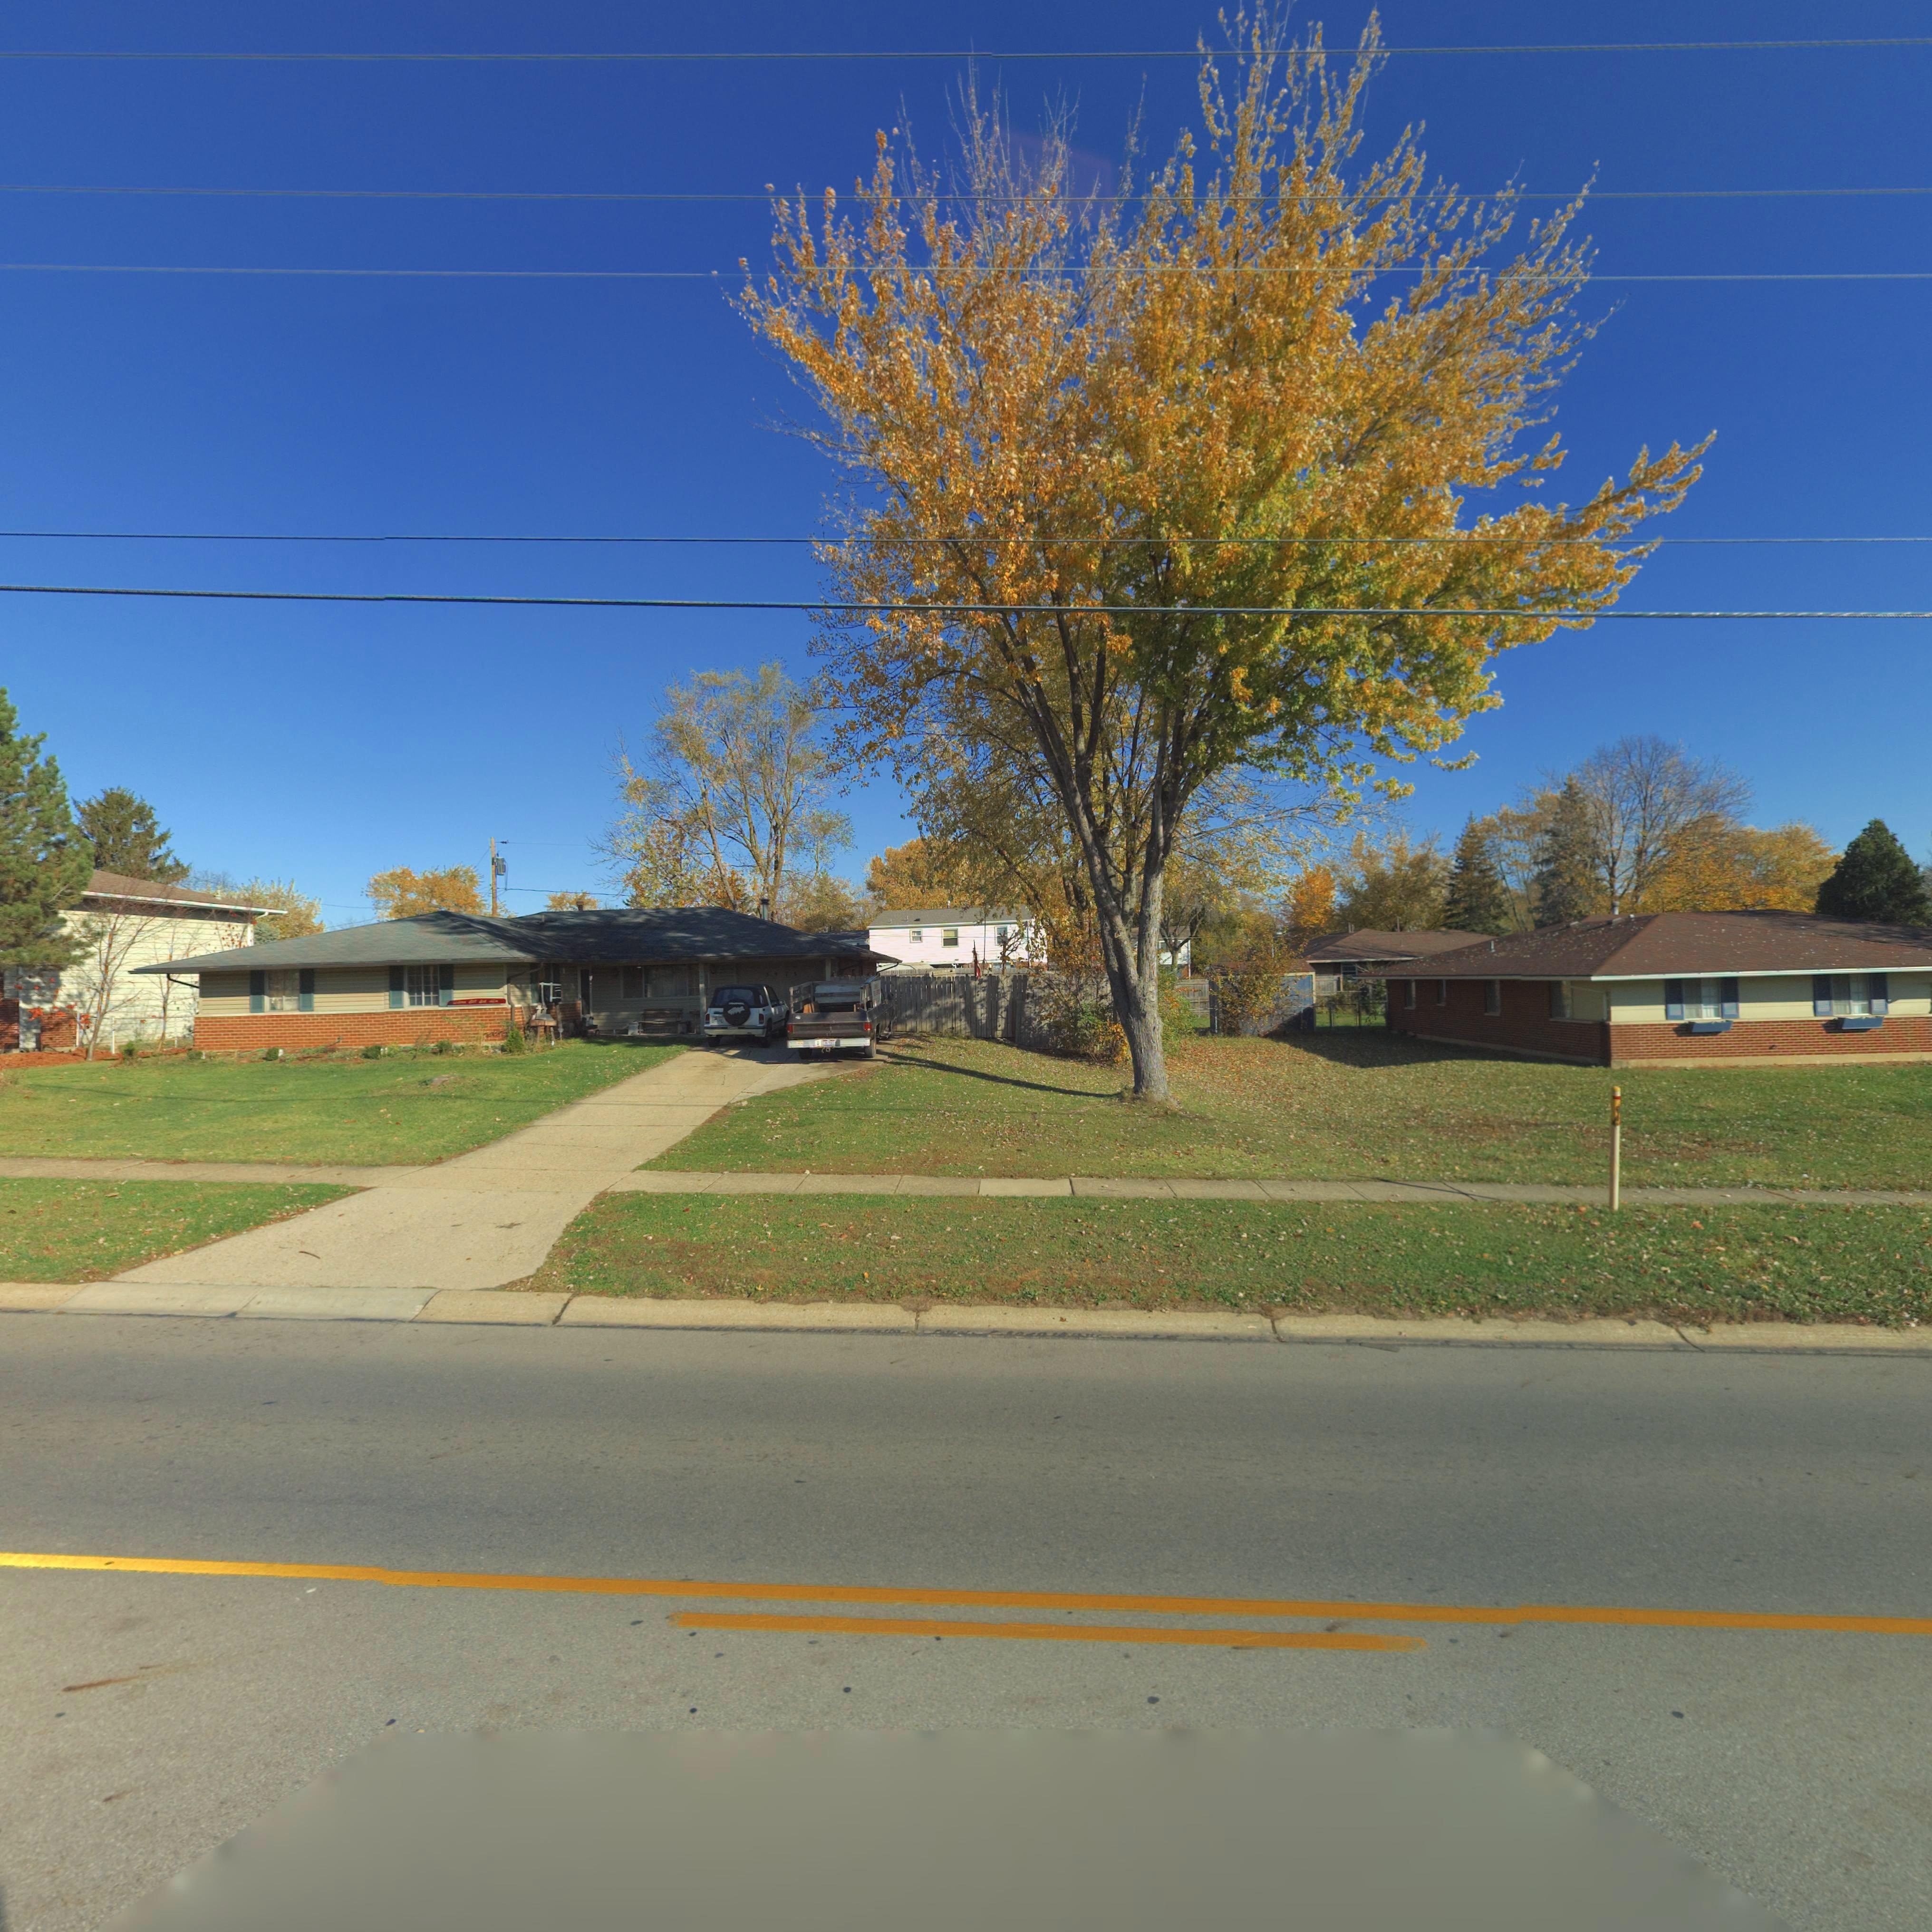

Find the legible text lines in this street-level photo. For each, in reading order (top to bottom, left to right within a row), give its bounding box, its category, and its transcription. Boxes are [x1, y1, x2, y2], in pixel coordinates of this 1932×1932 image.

[699, 968, 704, 991] StreetNumber: *9*5
[765, 971, 797, 977] StreetNumber: 5975